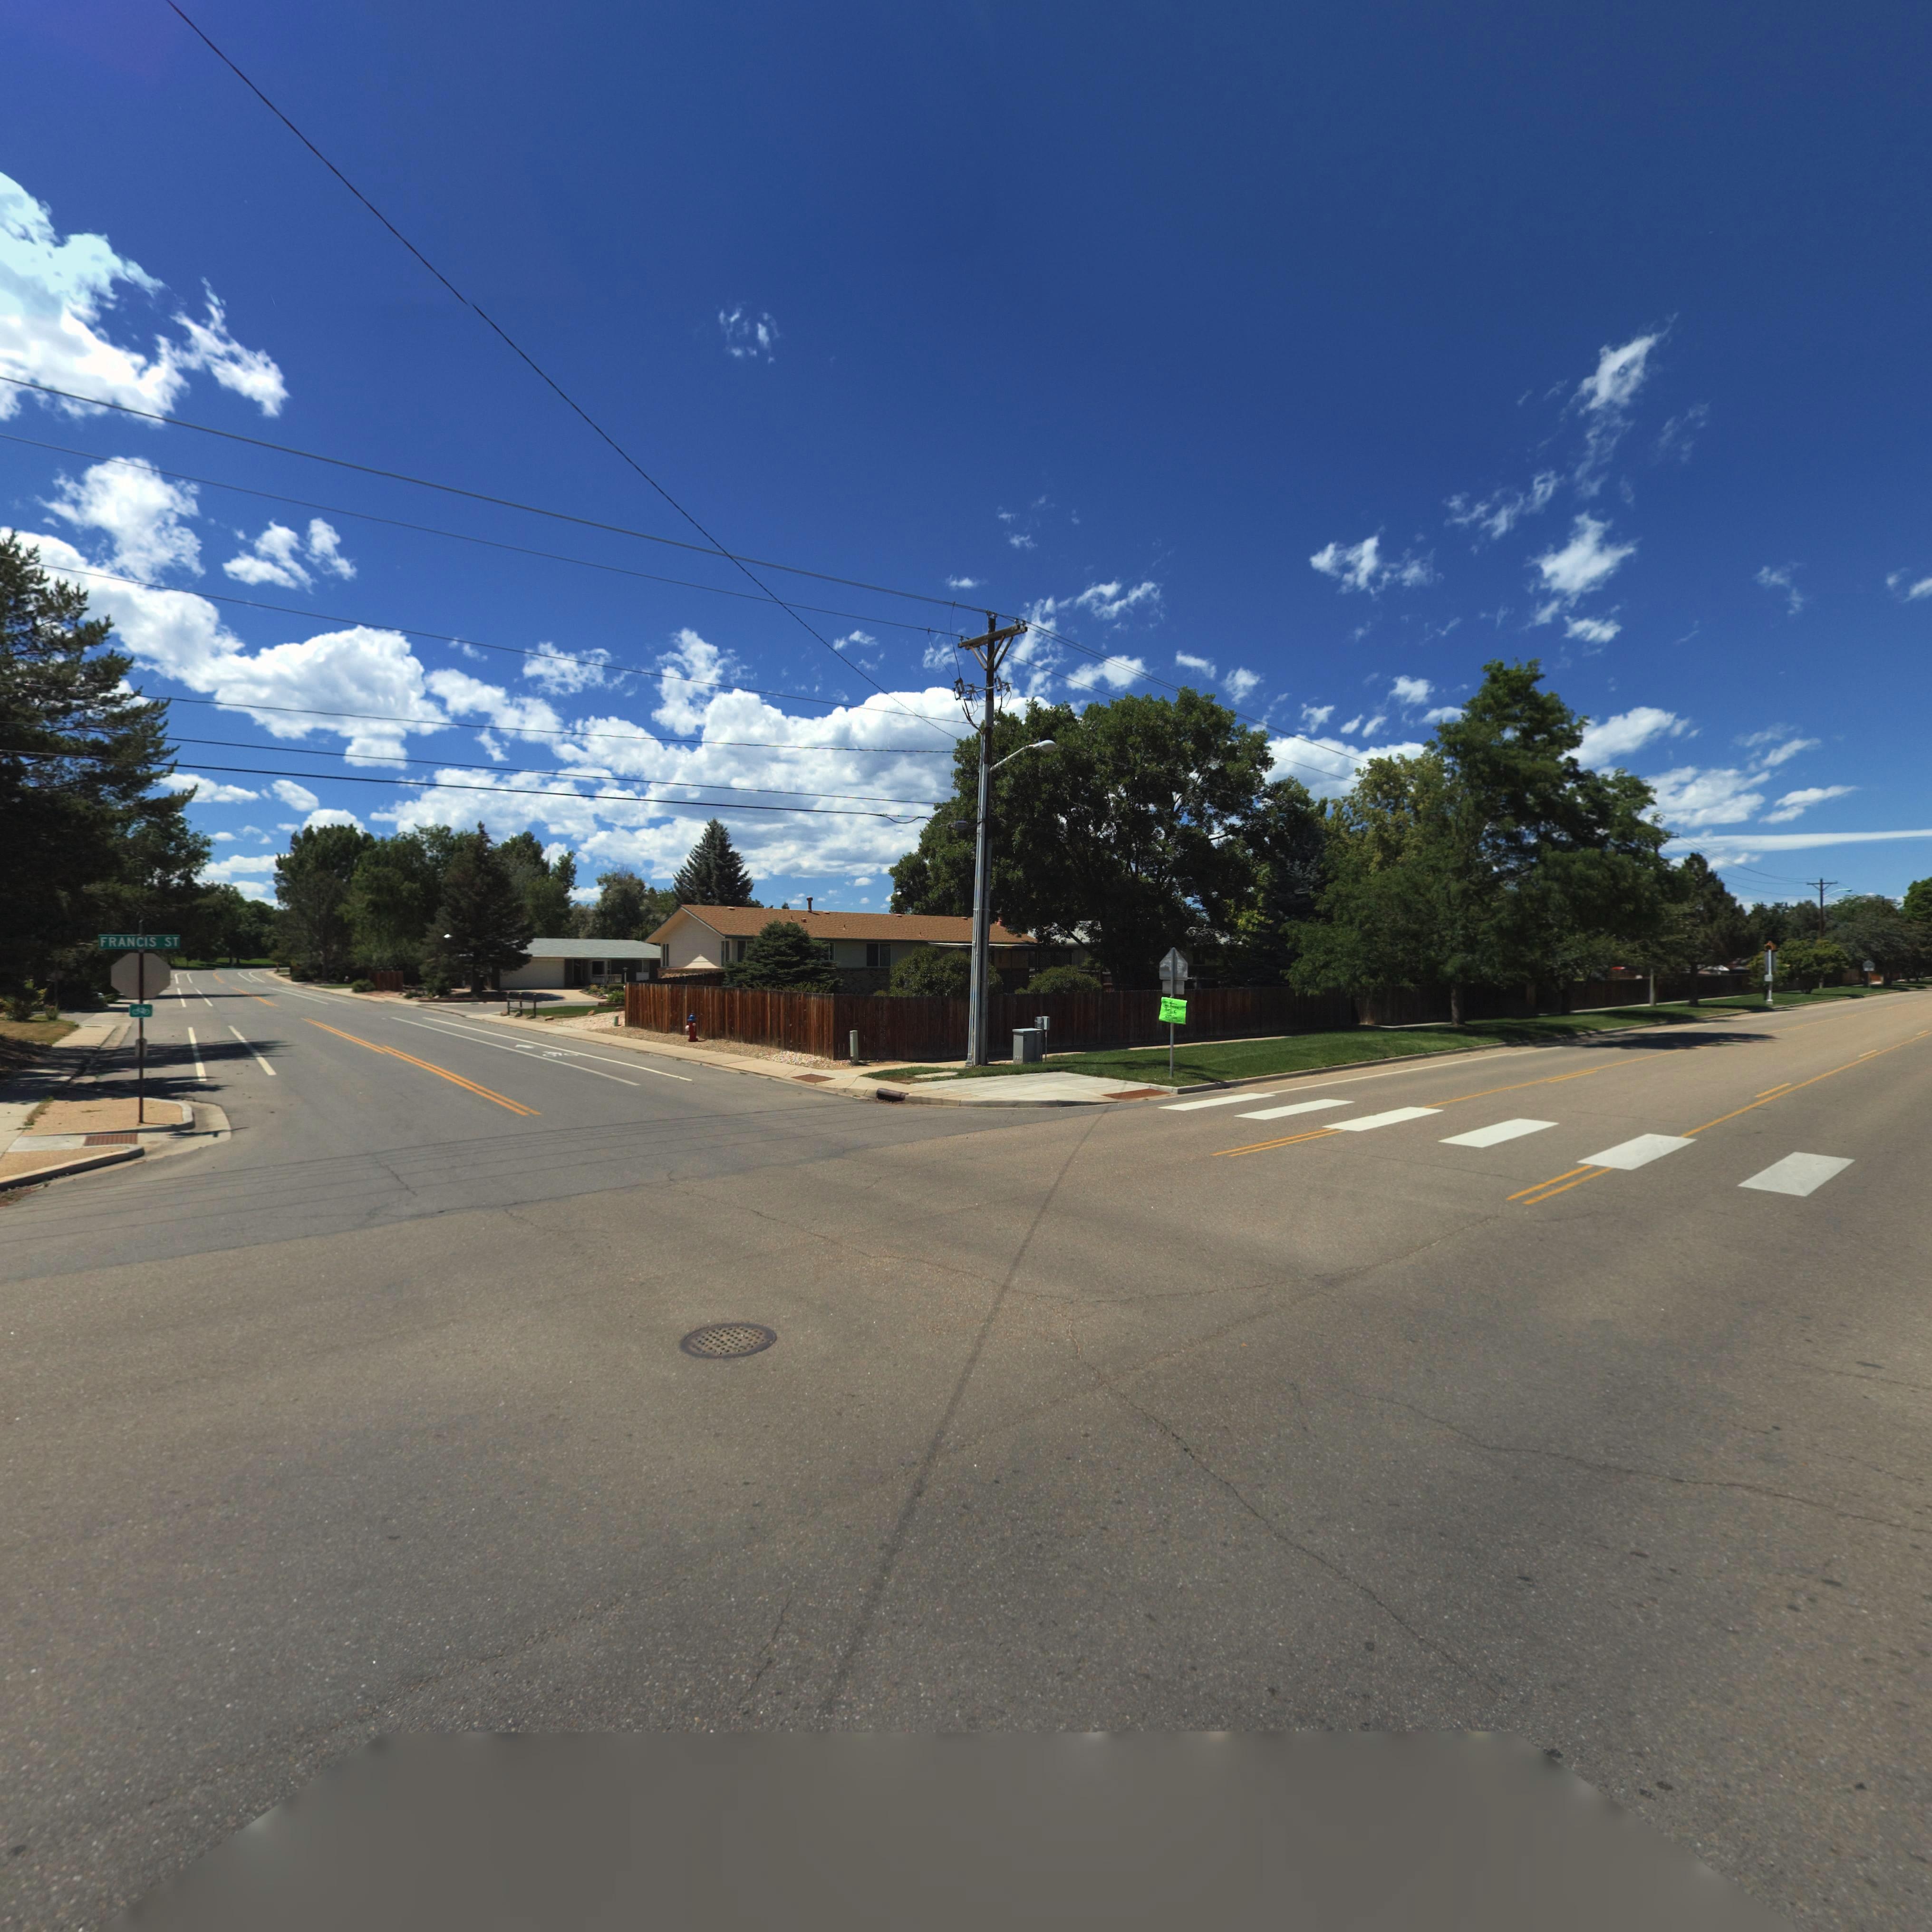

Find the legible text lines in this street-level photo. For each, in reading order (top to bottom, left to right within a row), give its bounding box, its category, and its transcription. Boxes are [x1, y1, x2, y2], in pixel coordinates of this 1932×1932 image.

[99, 937, 179, 947] StreetName: FRANCIS ST